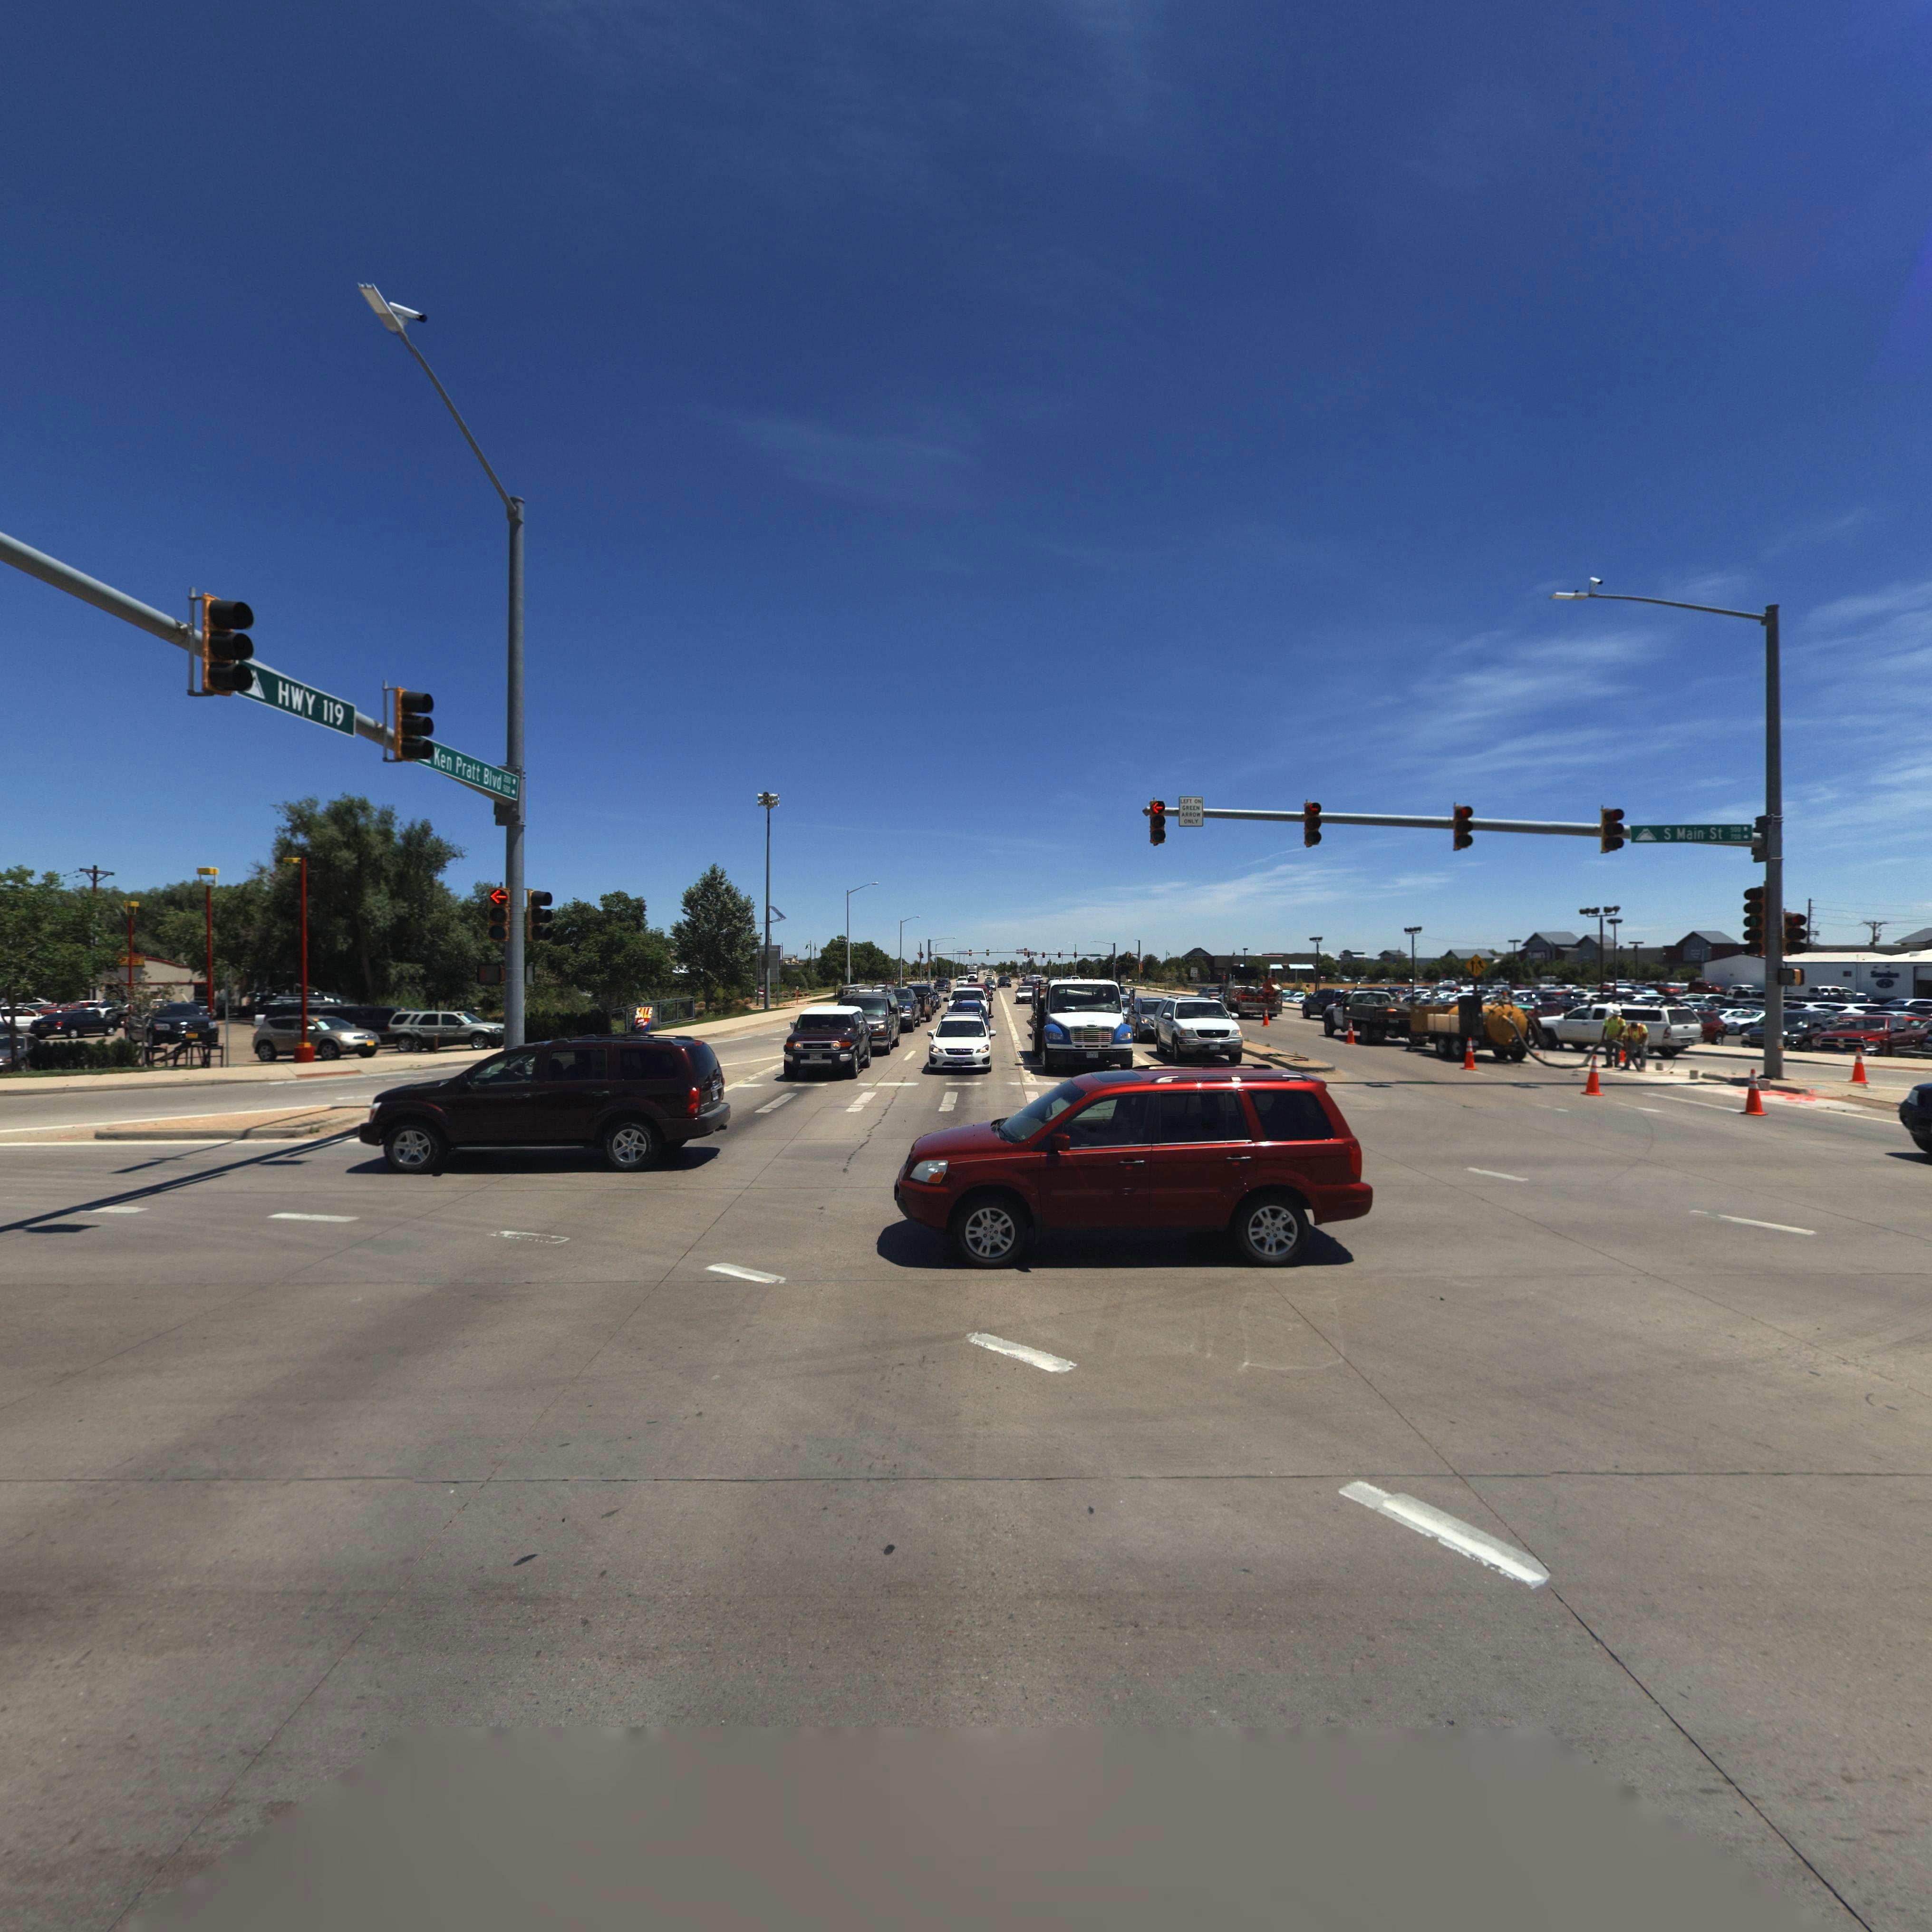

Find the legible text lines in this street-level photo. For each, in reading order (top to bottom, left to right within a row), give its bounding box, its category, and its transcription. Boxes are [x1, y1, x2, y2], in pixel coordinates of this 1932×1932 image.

[276, 677, 346, 730] StreetName: HWY 119
[432, 744, 503, 791] StreetName: Ken Pratt Blvd
[502, 773, 512, 785] StreetNumber: 200
[502, 783, 516, 798] StreetNumberRange: 500 ->
[1663, 827, 1724, 840] StreetName: S Main St
[1730, 826, 1742, 833] StreetNumberRange: 900
[1729, 833, 1749, 840] StreetNumberRange: 700 ->
[116, 956, 141, 964] BusinessName: *E